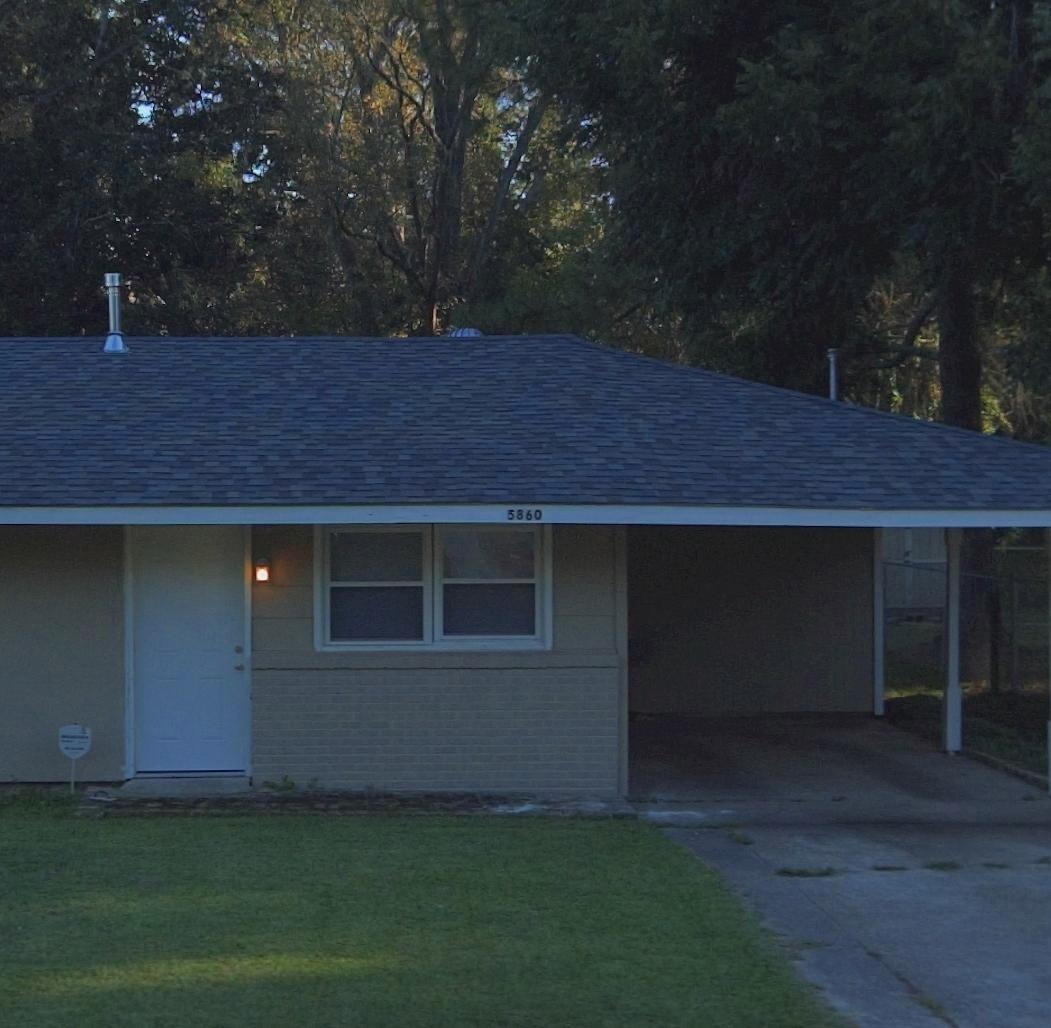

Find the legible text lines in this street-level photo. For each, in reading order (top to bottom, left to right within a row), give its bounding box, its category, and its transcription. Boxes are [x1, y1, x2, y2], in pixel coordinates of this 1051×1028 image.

[507, 508, 542, 521] StreetNumber: 5860